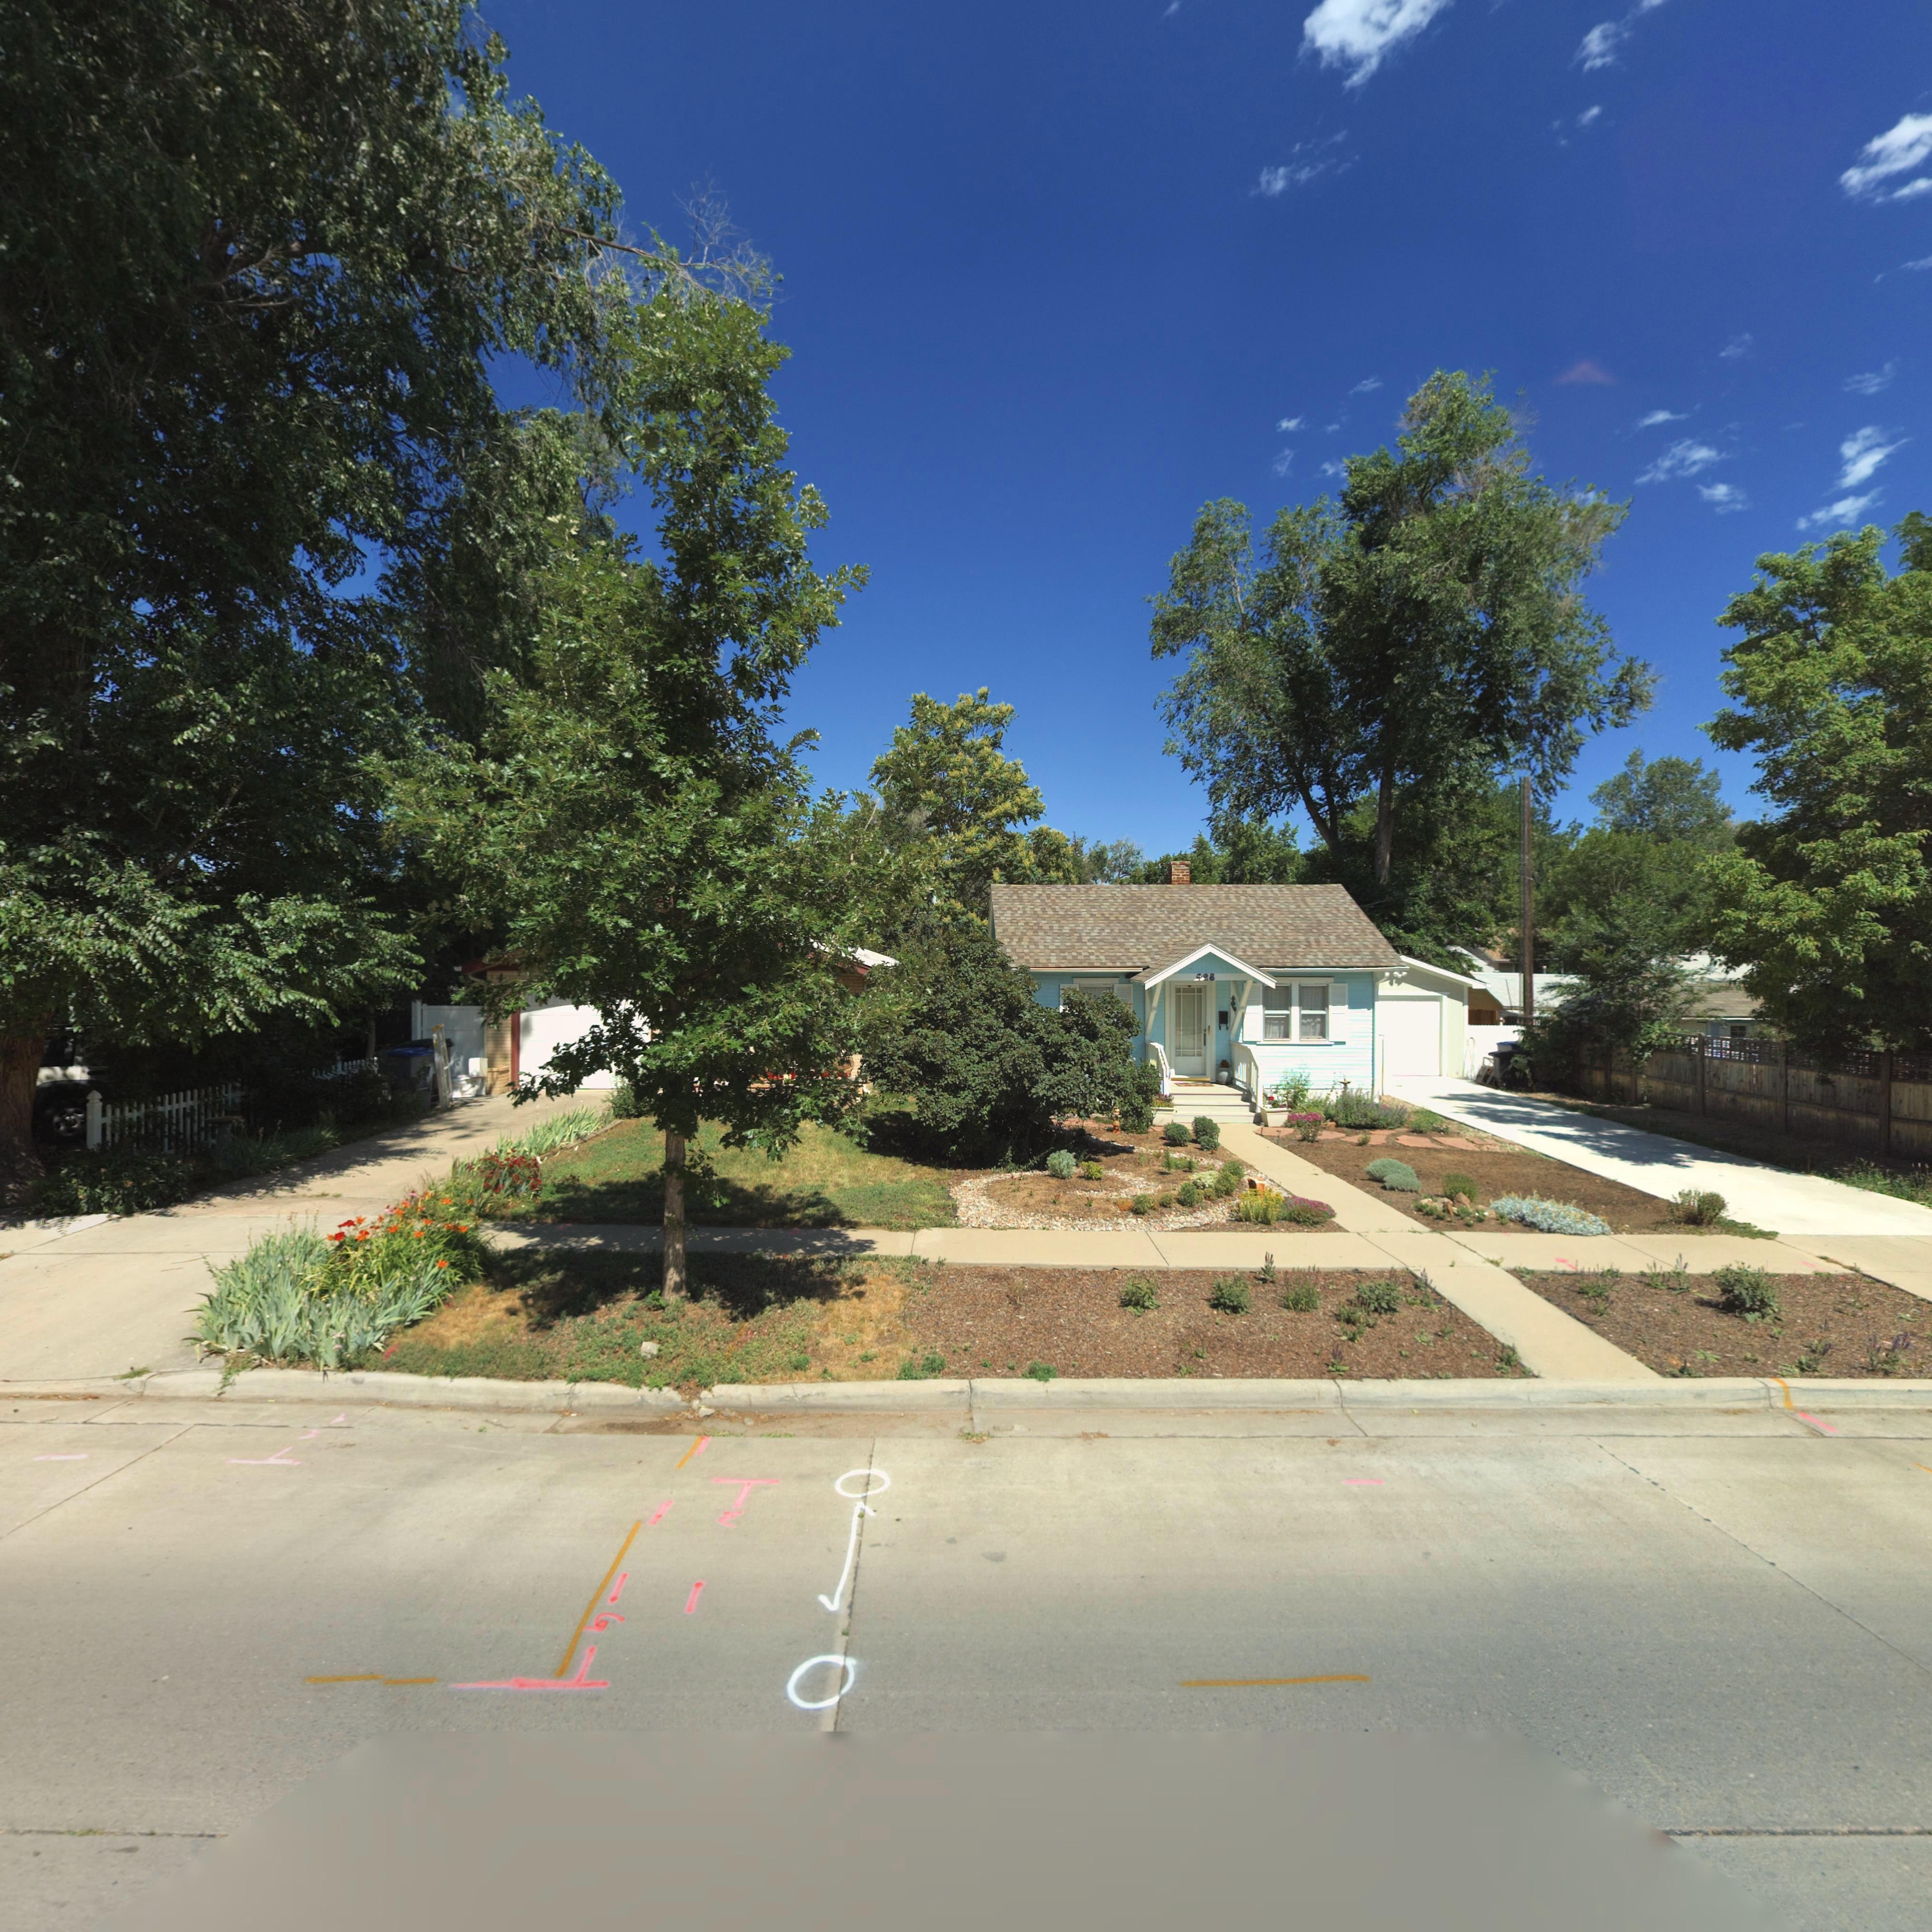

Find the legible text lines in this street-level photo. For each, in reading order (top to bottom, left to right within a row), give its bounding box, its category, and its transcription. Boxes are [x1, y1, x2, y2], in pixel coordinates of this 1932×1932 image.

[1195, 973, 1215, 981] StreetNumber: 428